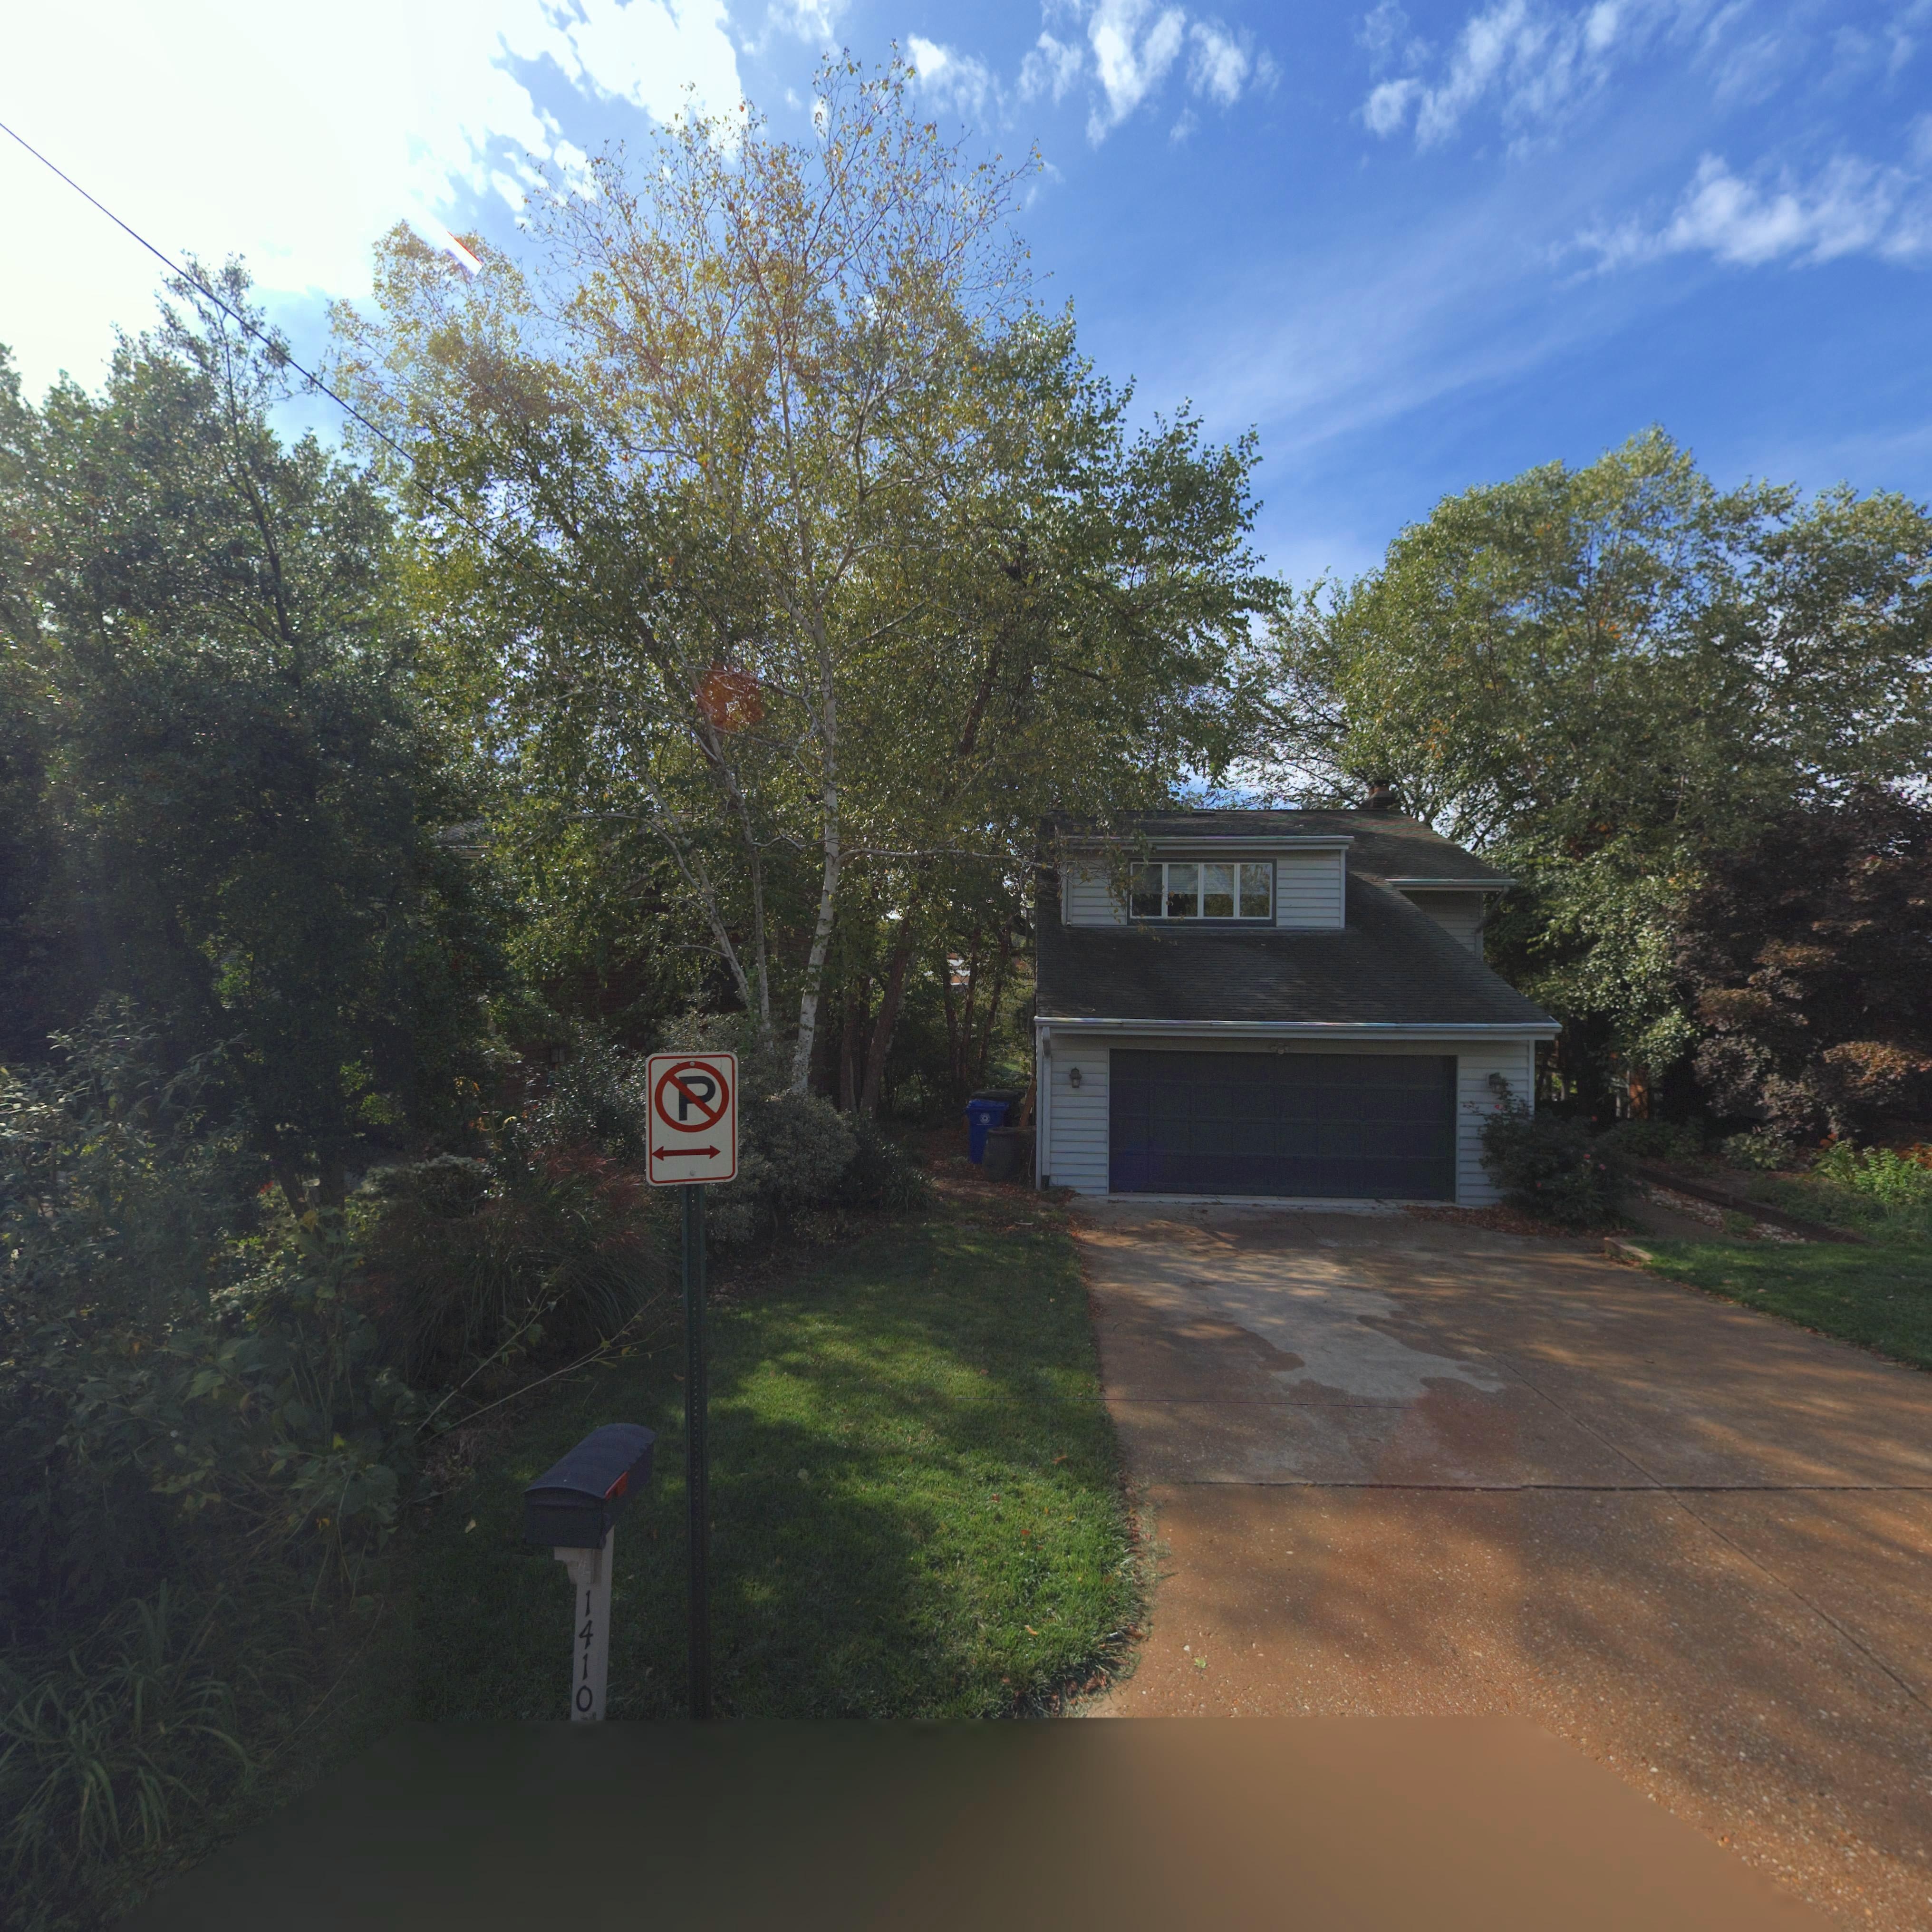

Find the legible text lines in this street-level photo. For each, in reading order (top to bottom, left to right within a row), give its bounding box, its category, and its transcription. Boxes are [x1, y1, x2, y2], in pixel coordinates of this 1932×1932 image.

[574, 1586, 595, 1714] StreetNumber: 1410